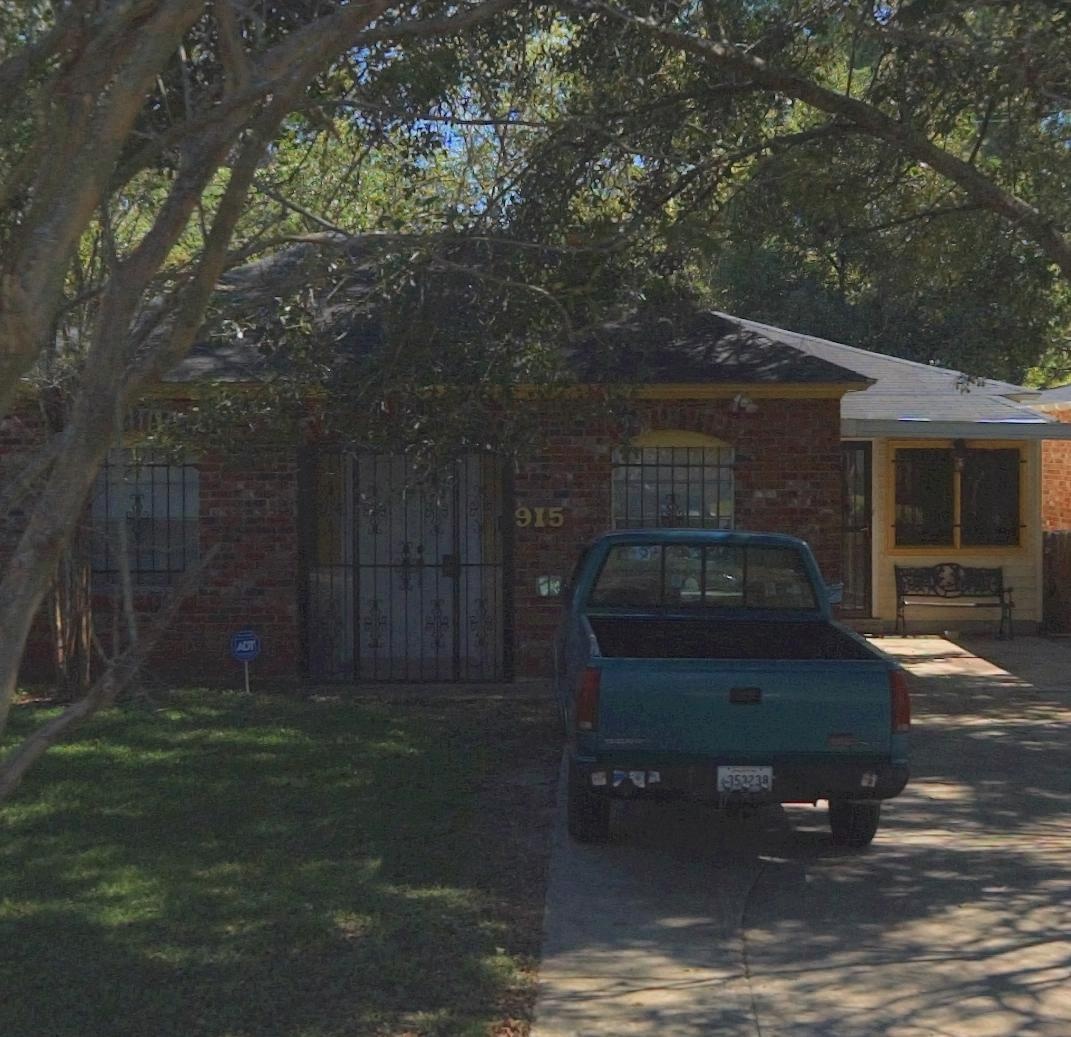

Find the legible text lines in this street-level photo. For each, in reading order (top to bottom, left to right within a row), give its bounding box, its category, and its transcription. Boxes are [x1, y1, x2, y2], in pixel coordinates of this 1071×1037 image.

[513, 505, 566, 529] StreetNumber: 915
[733, 773, 742, 788] None: 5